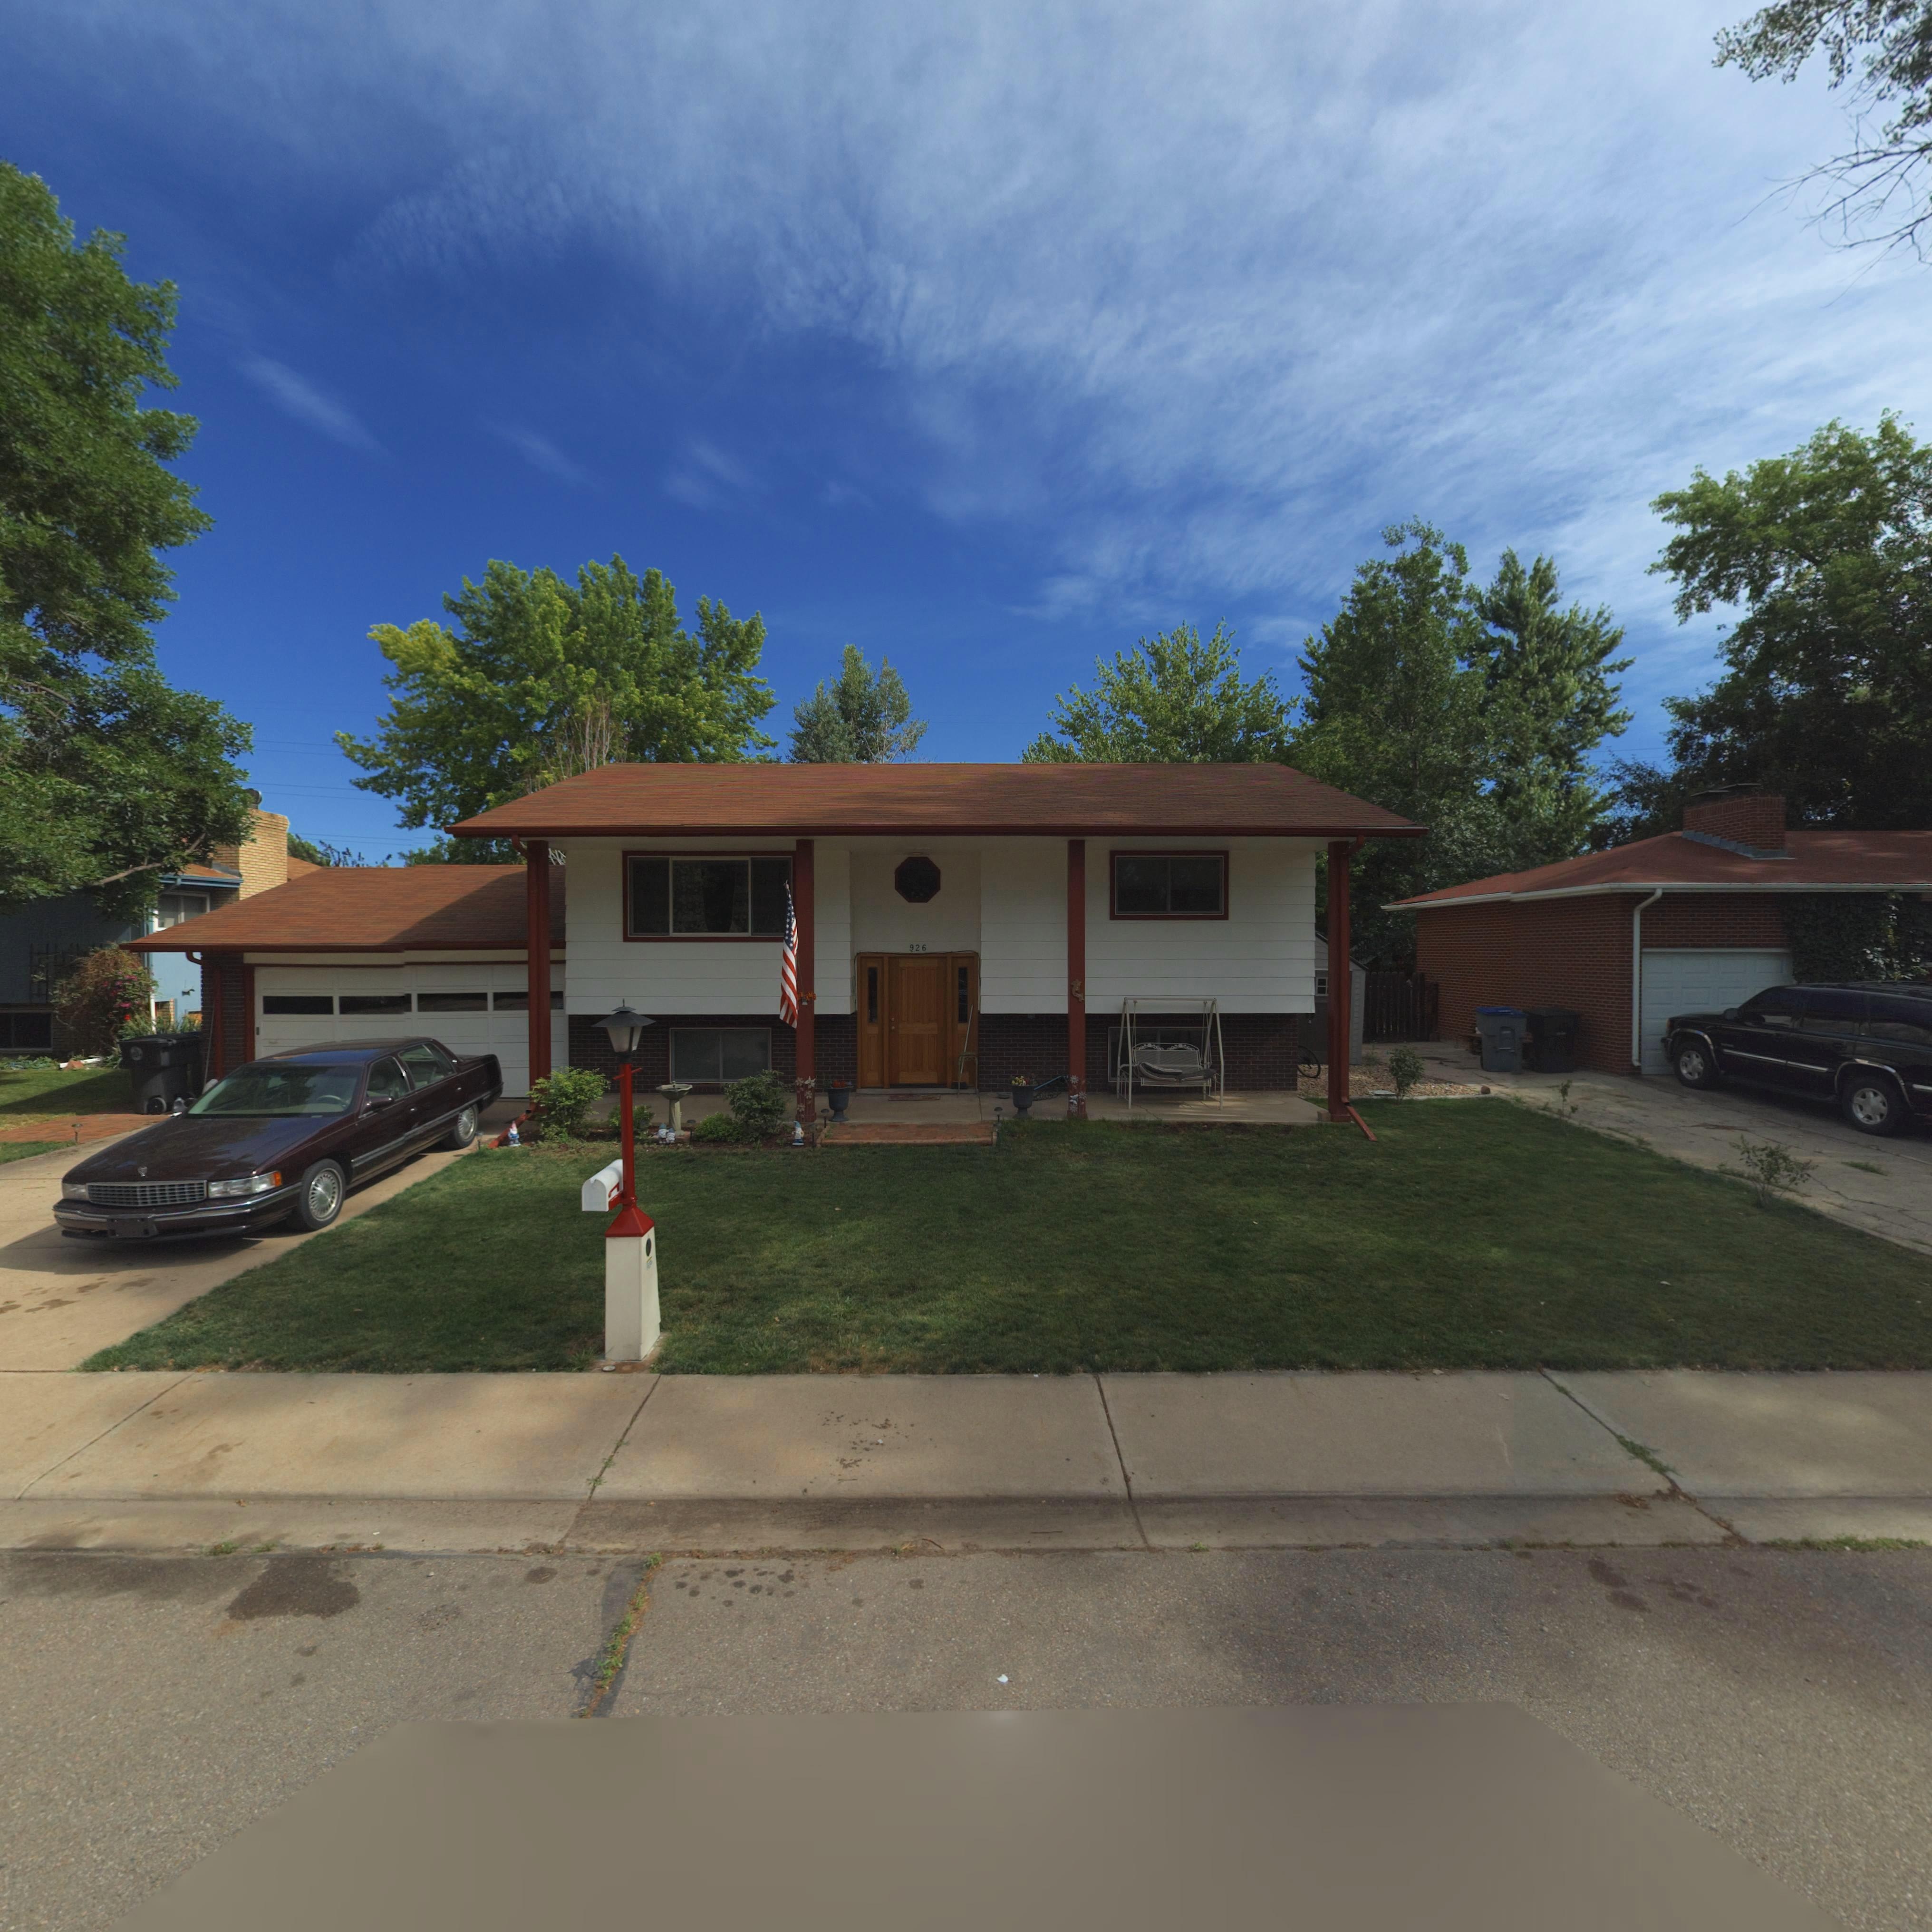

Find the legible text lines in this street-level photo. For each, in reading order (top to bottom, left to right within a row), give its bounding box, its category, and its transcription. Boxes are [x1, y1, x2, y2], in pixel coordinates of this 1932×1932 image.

[908, 944, 926, 951] StreetNumber: 926